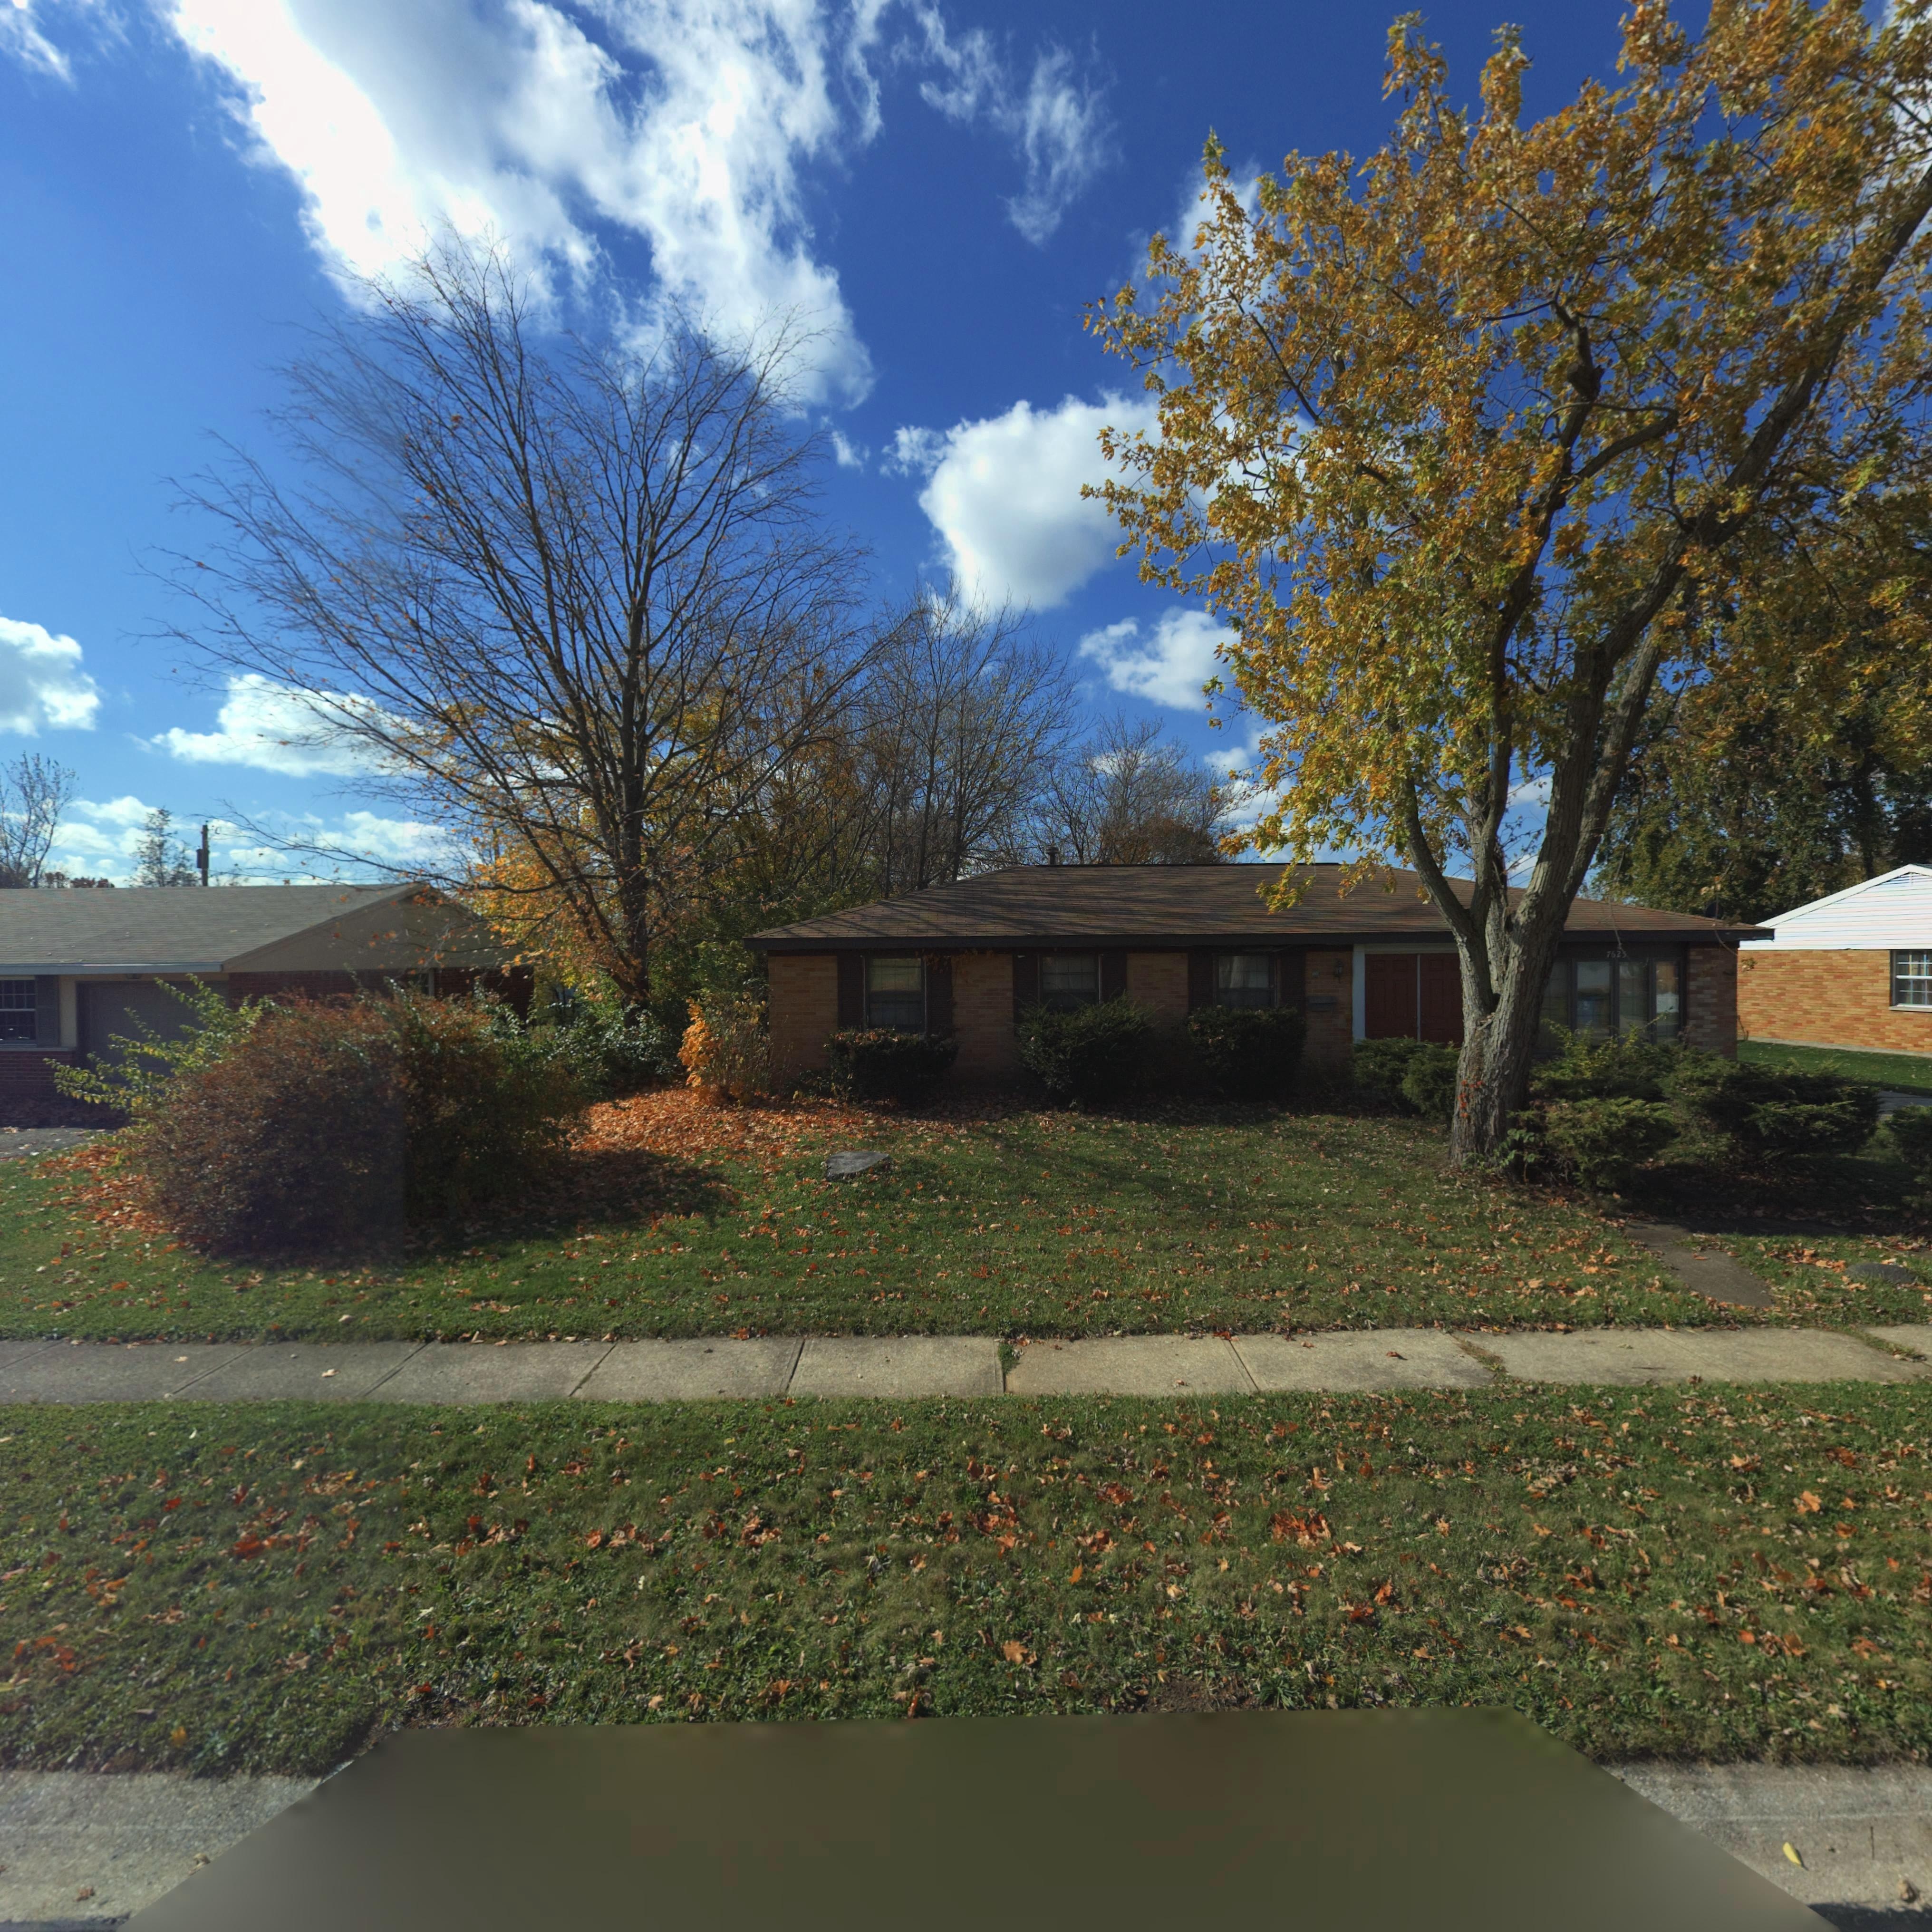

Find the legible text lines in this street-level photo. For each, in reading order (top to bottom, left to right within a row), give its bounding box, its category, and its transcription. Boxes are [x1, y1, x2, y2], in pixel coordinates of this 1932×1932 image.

[1606, 950, 1627, 958] StreetNumber: 7625